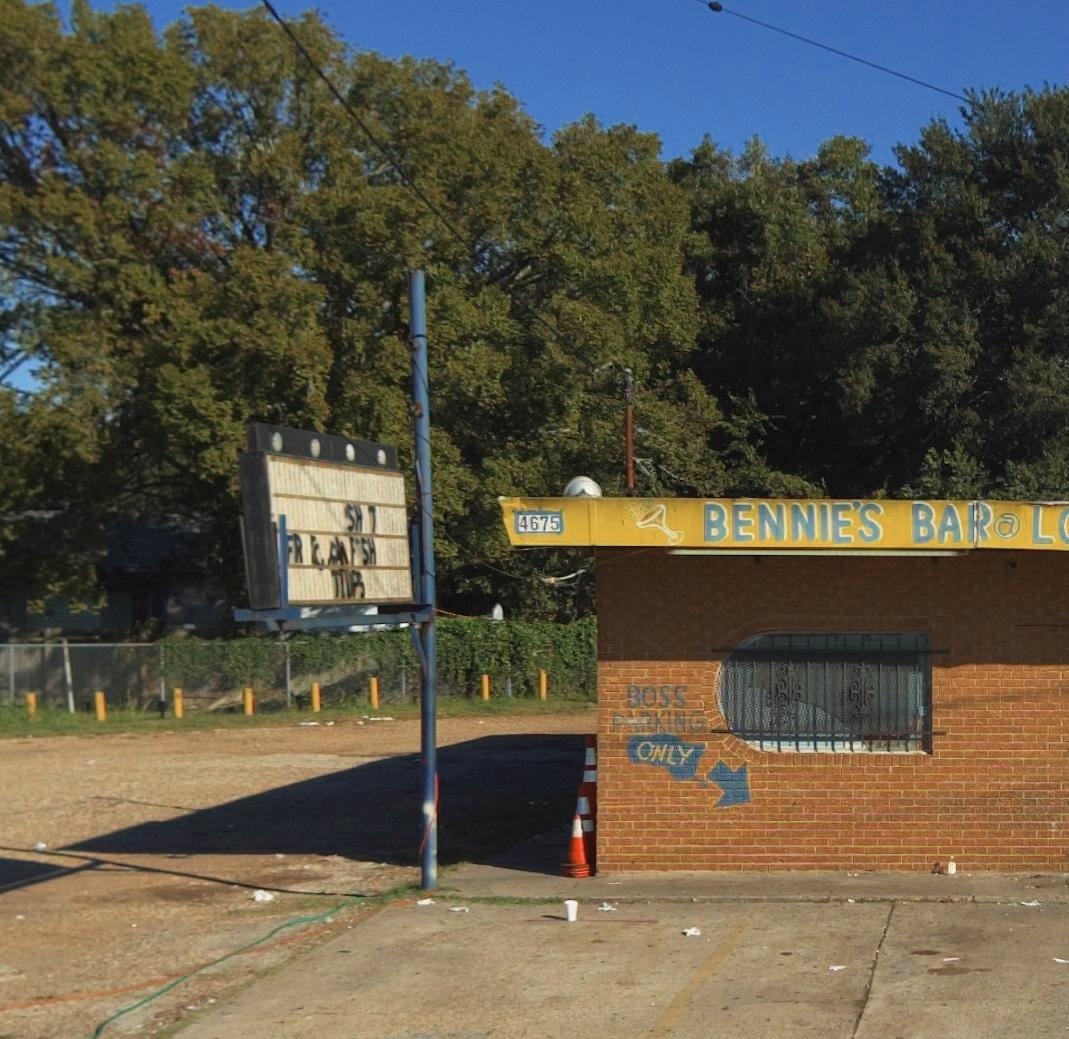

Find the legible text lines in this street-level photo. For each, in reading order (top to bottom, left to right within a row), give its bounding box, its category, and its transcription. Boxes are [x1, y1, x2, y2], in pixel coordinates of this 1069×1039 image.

[339, 498, 384, 537] None: SH 7
[518, 514, 561, 532] StreetNumber: 4675
[701, 499, 1057, 546] BusinessName: BENNIE'S BA** L
[348, 534, 379, 568] None: F*SH
[625, 683, 688, 710] None: BOSS
[611, 709, 706, 735] None: PARKING
[634, 737, 699, 770] None: ONLY